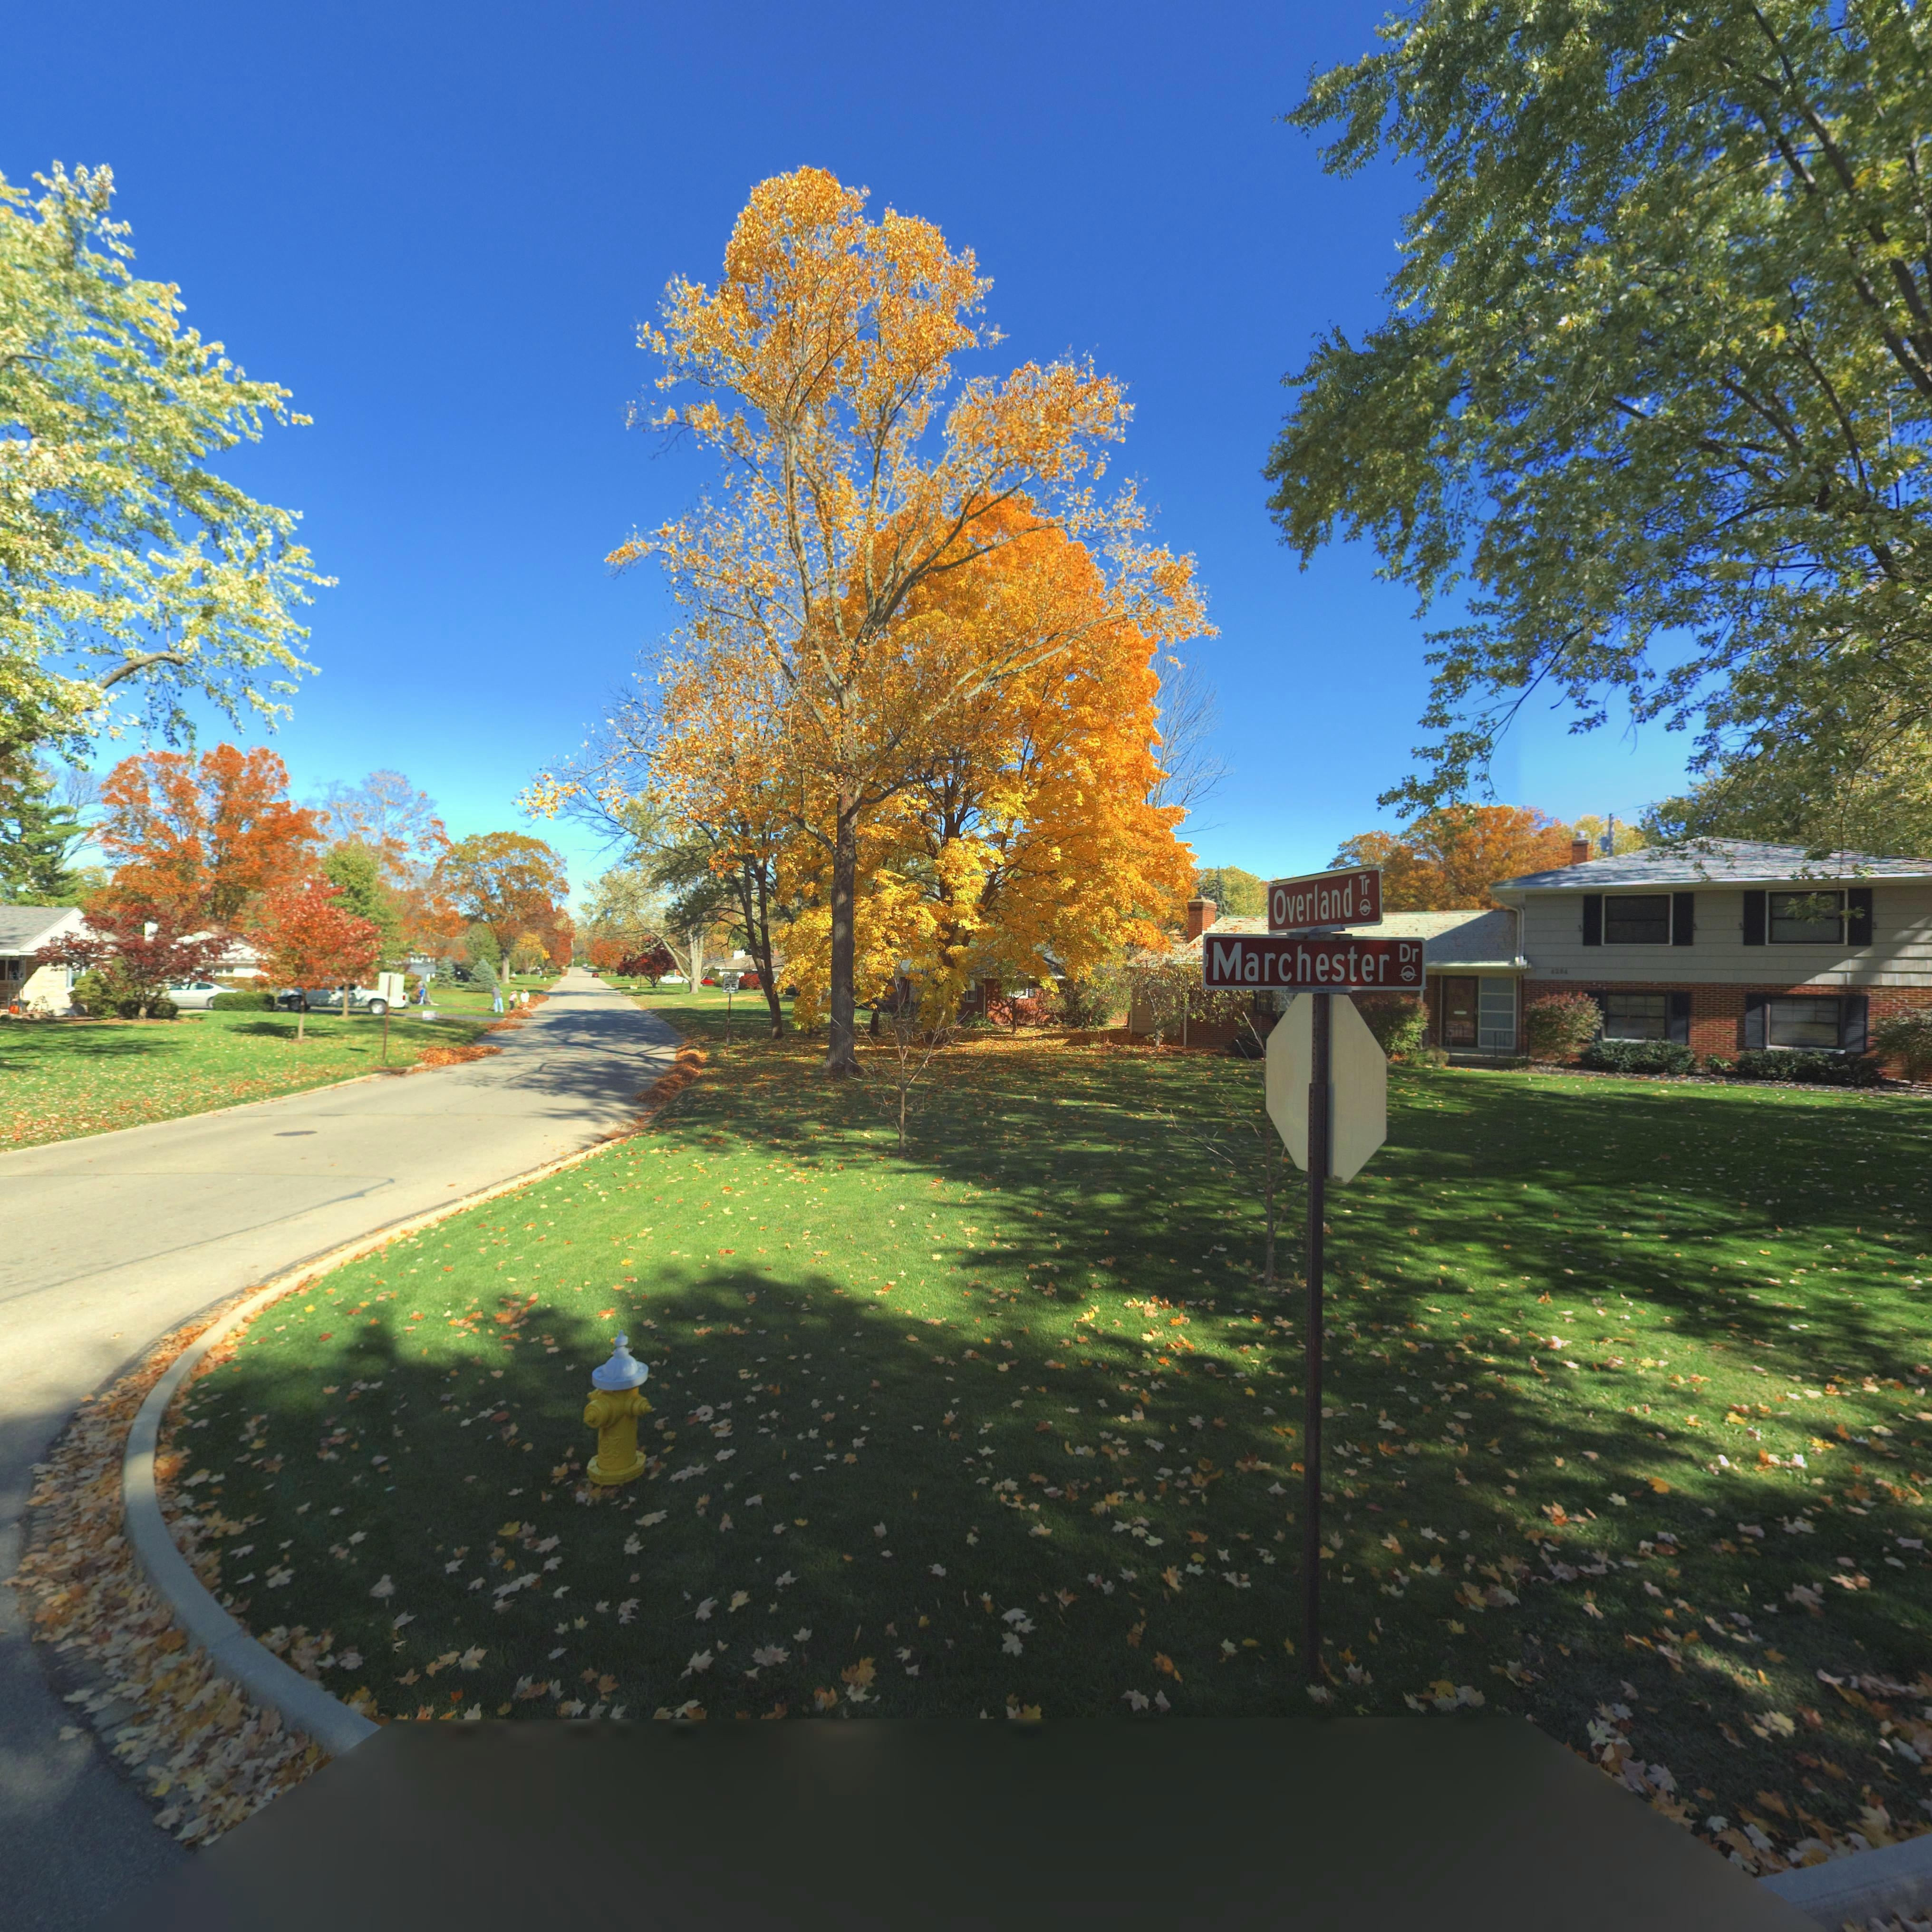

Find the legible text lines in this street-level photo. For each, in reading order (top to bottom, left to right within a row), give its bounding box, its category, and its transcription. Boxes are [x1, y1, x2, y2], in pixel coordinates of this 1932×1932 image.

[1550, 968, 1568, 975] StreetNumber: 4284